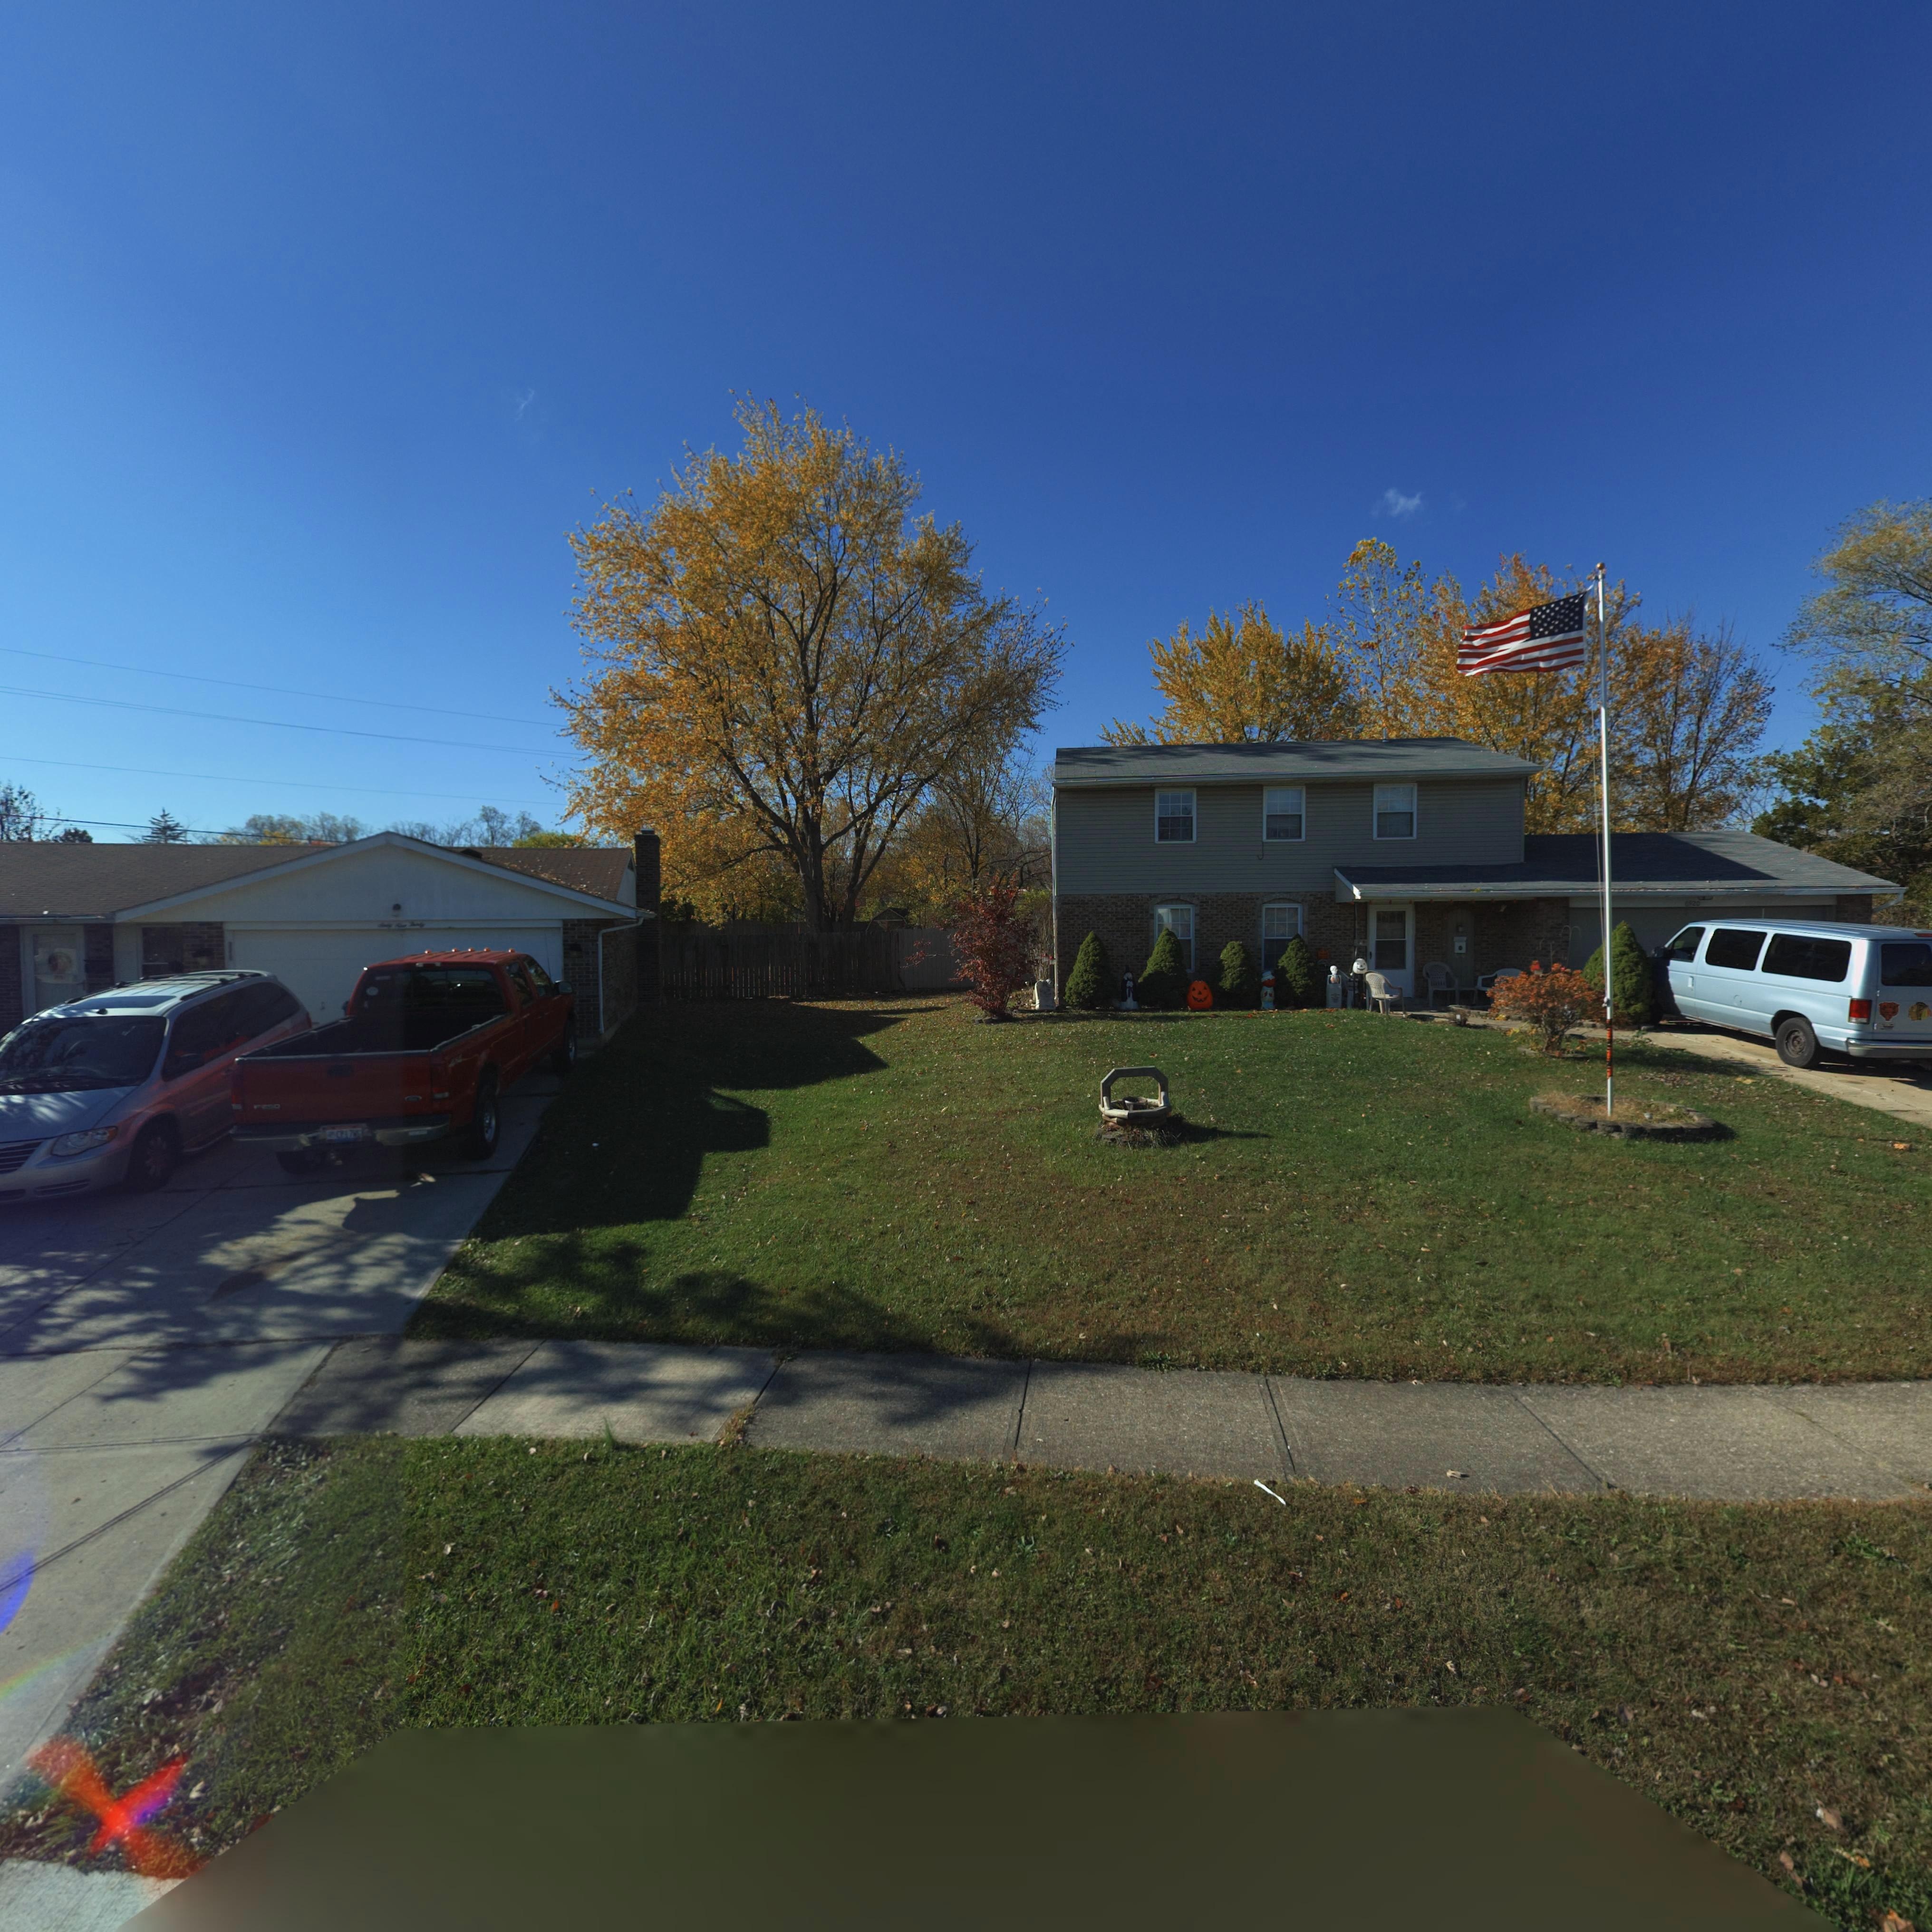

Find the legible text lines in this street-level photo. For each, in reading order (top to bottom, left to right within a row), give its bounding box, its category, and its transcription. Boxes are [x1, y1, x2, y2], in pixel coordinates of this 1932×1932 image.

[1684, 900, 1701, 908] StreetNumber: 6920
[377, 920, 427, 929] StreetNumber: Sixty Nine Thirty